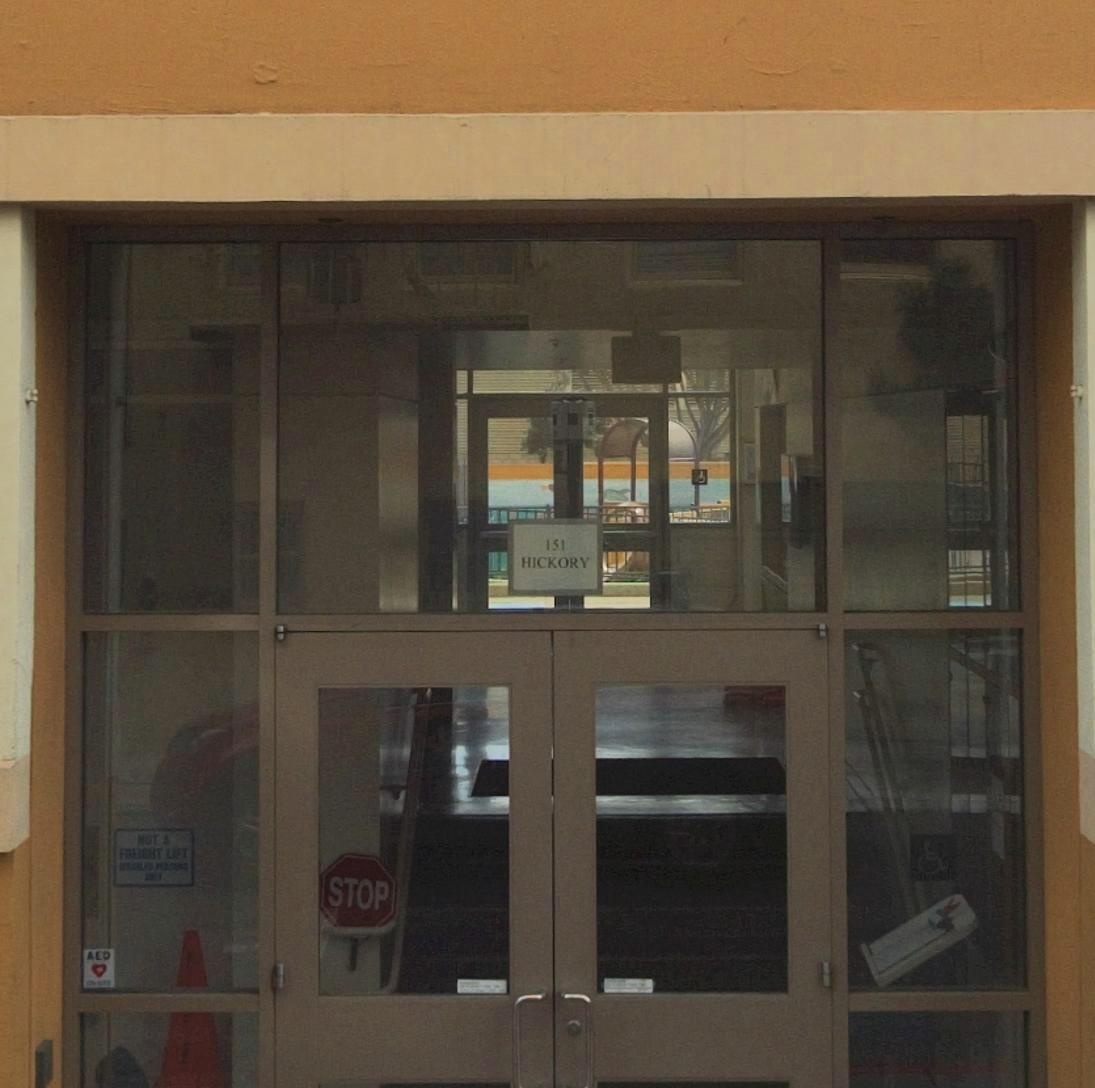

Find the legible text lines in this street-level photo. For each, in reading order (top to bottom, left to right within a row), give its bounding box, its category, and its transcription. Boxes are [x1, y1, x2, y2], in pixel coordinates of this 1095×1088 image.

[545, 536, 566, 552] StreetNumber: 151
[519, 554, 590, 570] StreetName: HICKORY
[135, 832, 171, 847] None: NOT A
[116, 845, 187, 860] None: FREIGHT LIFT
[326, 872, 390, 914] None: STOP
[84, 949, 111, 961] None: AED